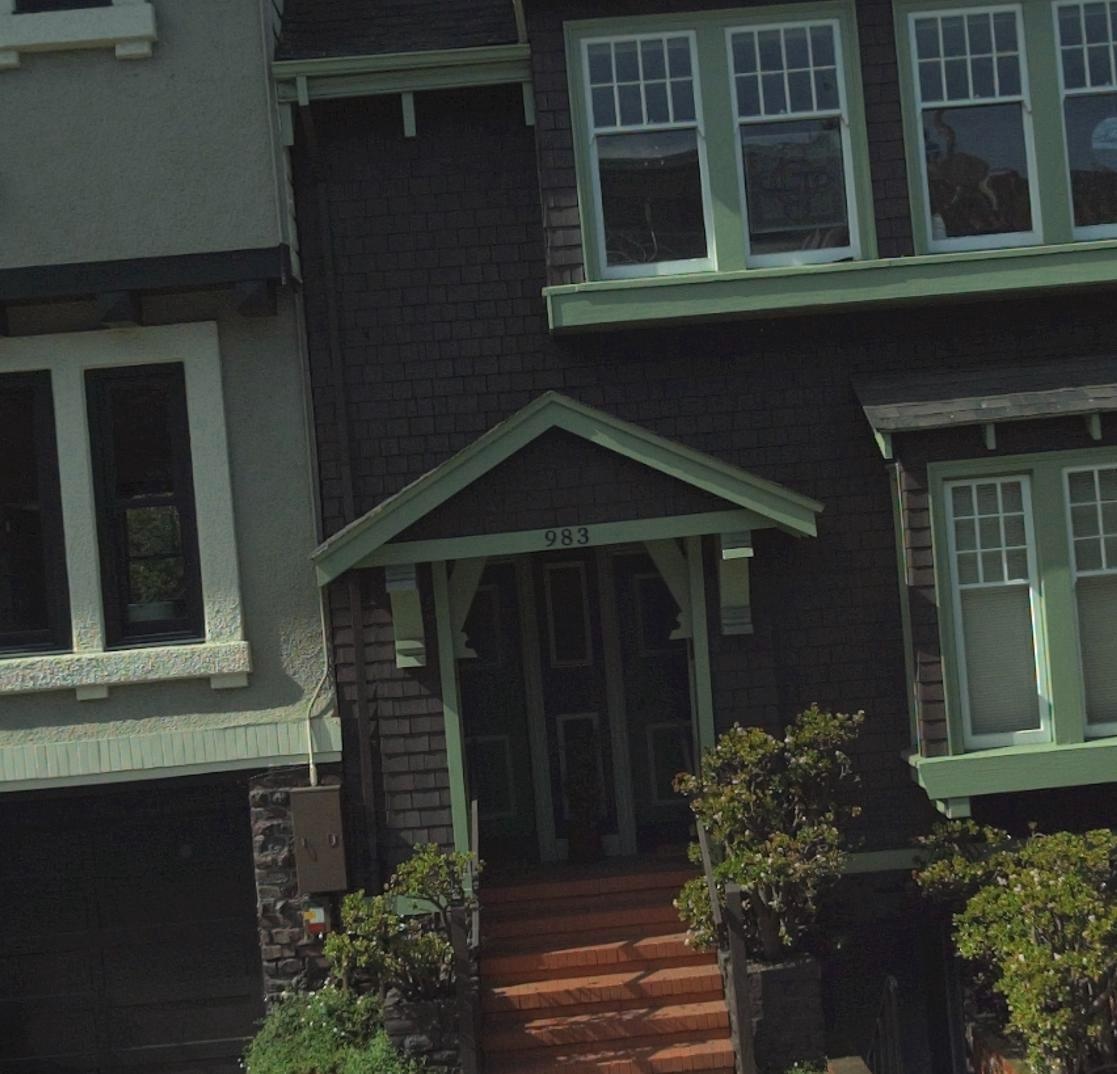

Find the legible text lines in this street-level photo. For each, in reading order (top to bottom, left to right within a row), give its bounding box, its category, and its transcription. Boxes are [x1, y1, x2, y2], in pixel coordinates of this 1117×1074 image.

[542, 524, 592, 550] StreetNumber: 983